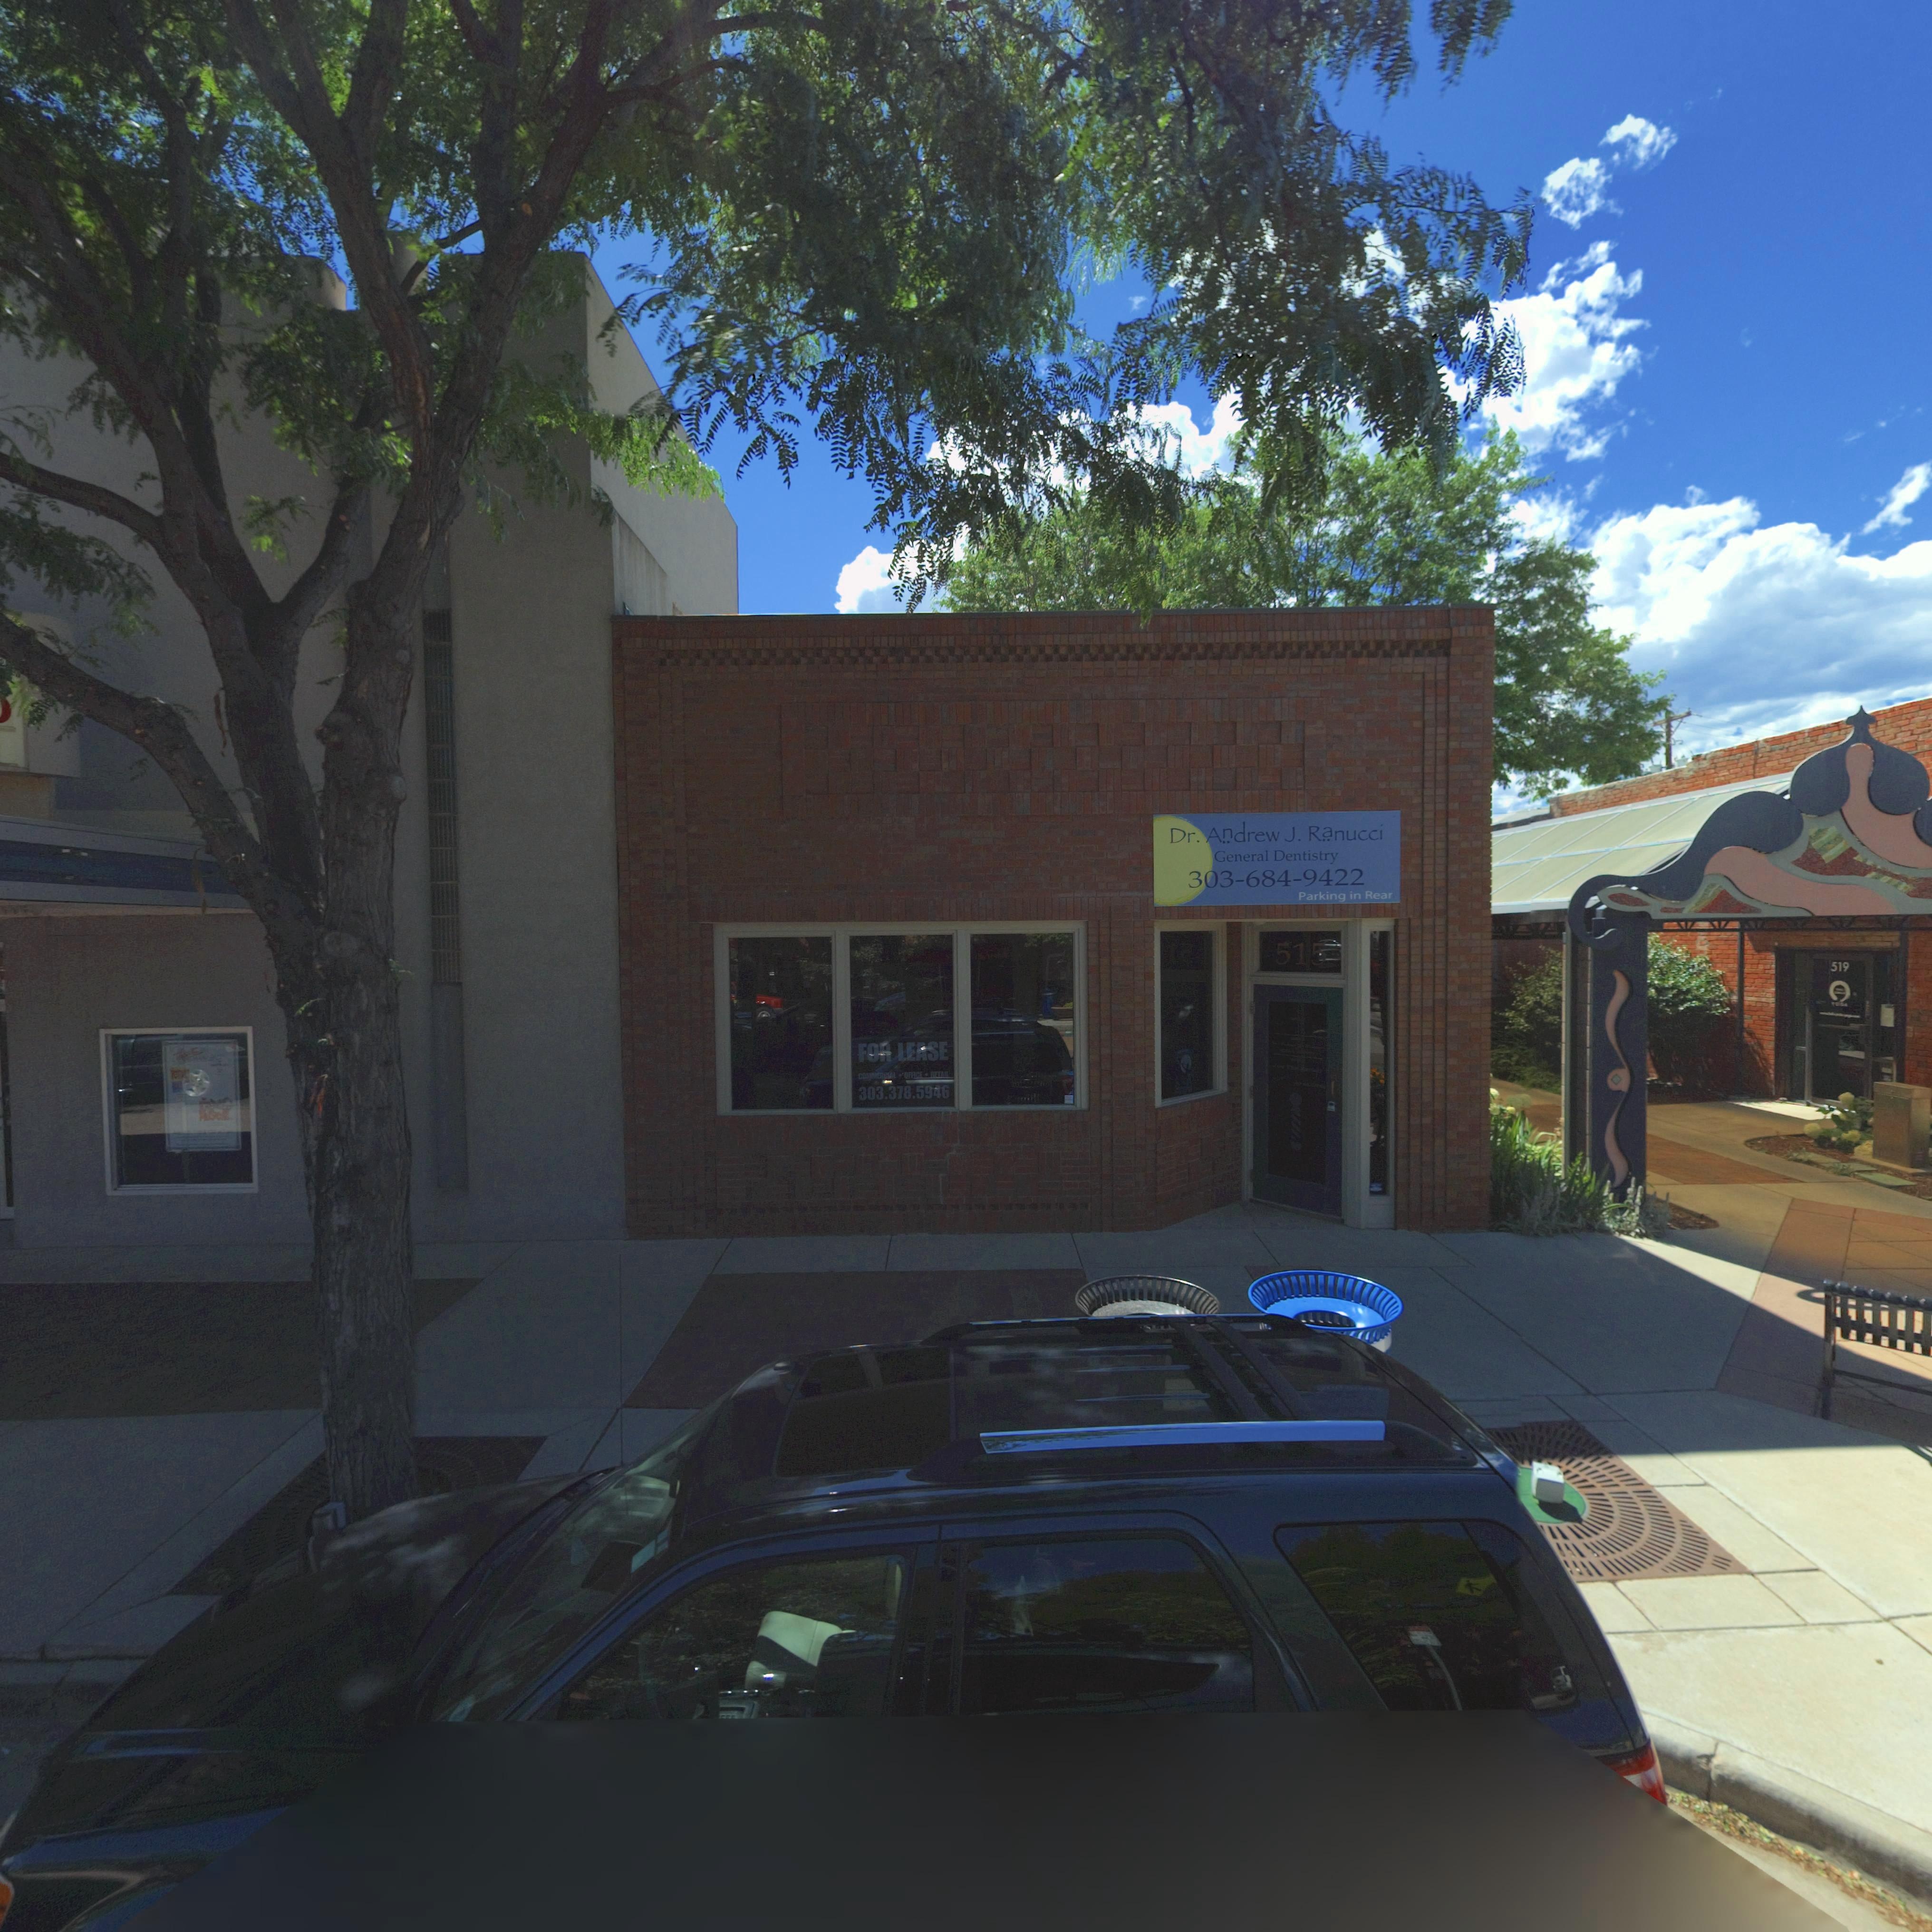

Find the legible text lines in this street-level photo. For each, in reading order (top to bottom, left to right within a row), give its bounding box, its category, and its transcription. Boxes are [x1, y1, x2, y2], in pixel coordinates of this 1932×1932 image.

[1169, 821, 1383, 844] BusinessName: Dr. Andrew J. Ranucci
[1275, 942, 1326, 966] StreetNumber: 515
[1830, 961, 1849, 972] StreetNumber: 519